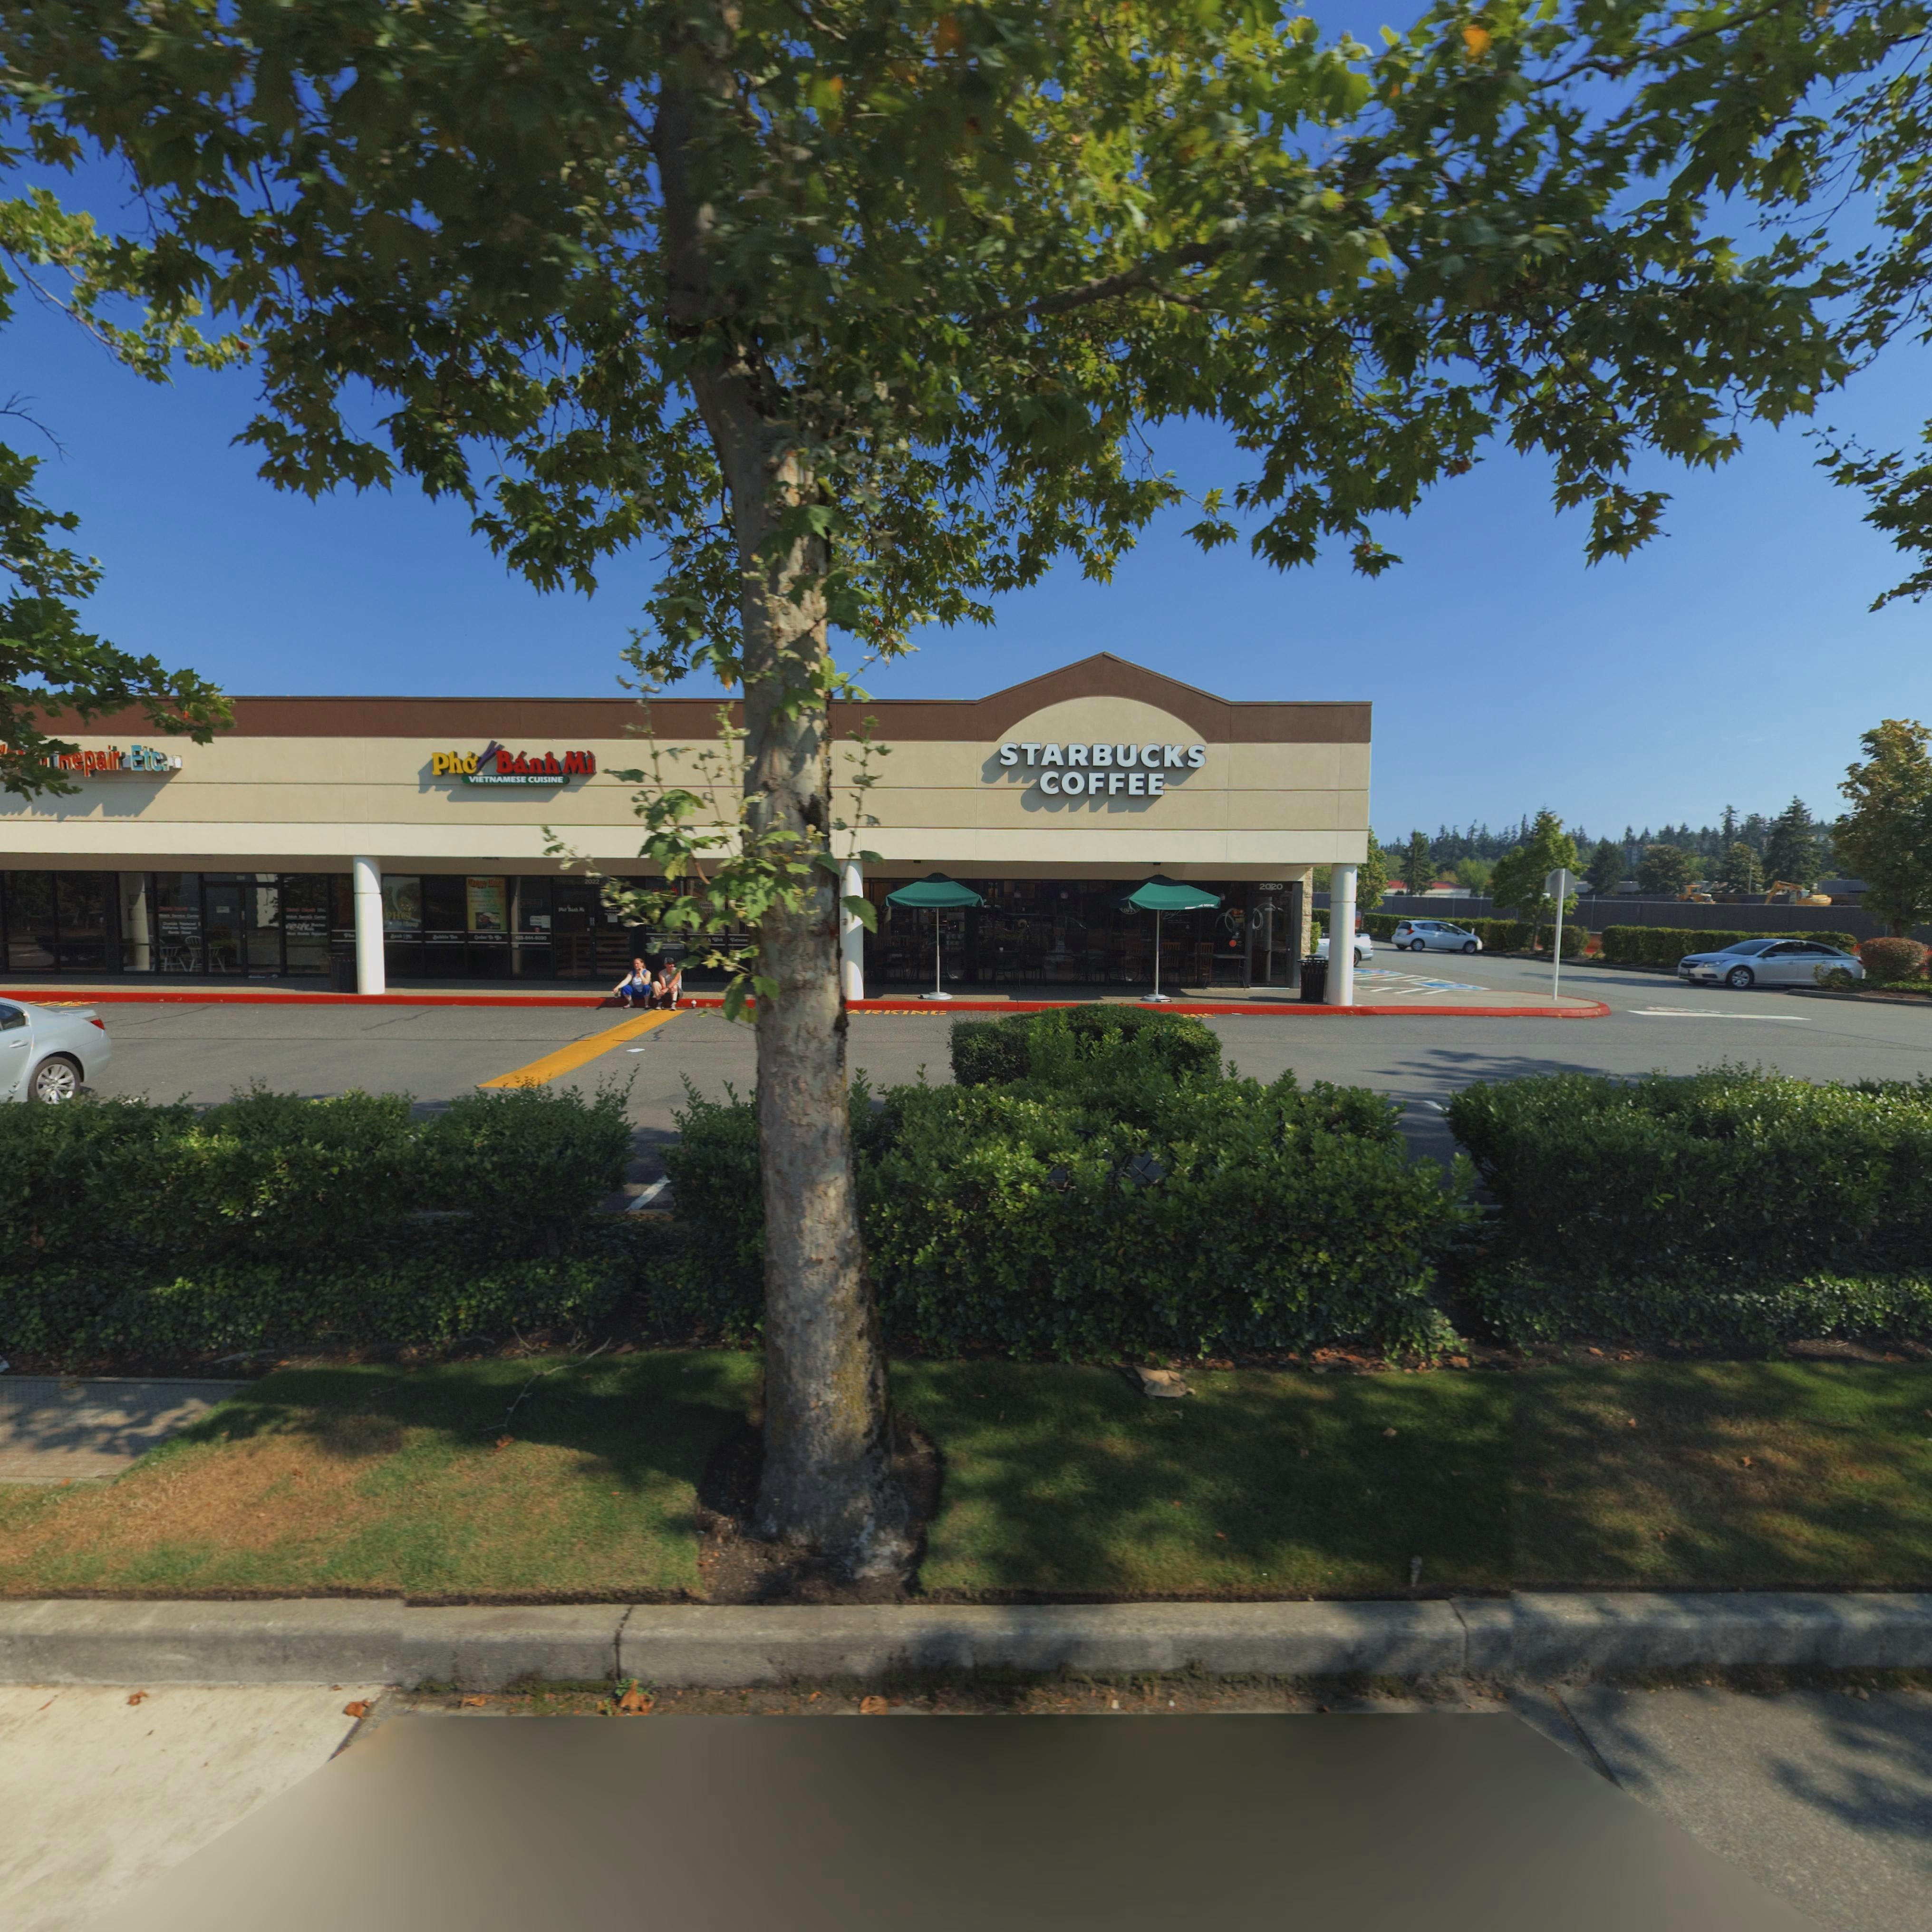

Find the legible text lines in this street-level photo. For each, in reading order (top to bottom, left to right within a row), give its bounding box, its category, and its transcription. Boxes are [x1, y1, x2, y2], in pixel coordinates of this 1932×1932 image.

[58, 743, 176, 777] BusinessName: *epair Etc.
[431, 739, 596, 775] BusinessName: Ph* B*nh Mi
[1001, 743, 1204, 766] BusinessName: STARBUCKS
[467, 775, 563, 782] BusinessName: VIATNAMESE CUISINE
[1040, 771, 1163, 794] BusinessName: COFFEE